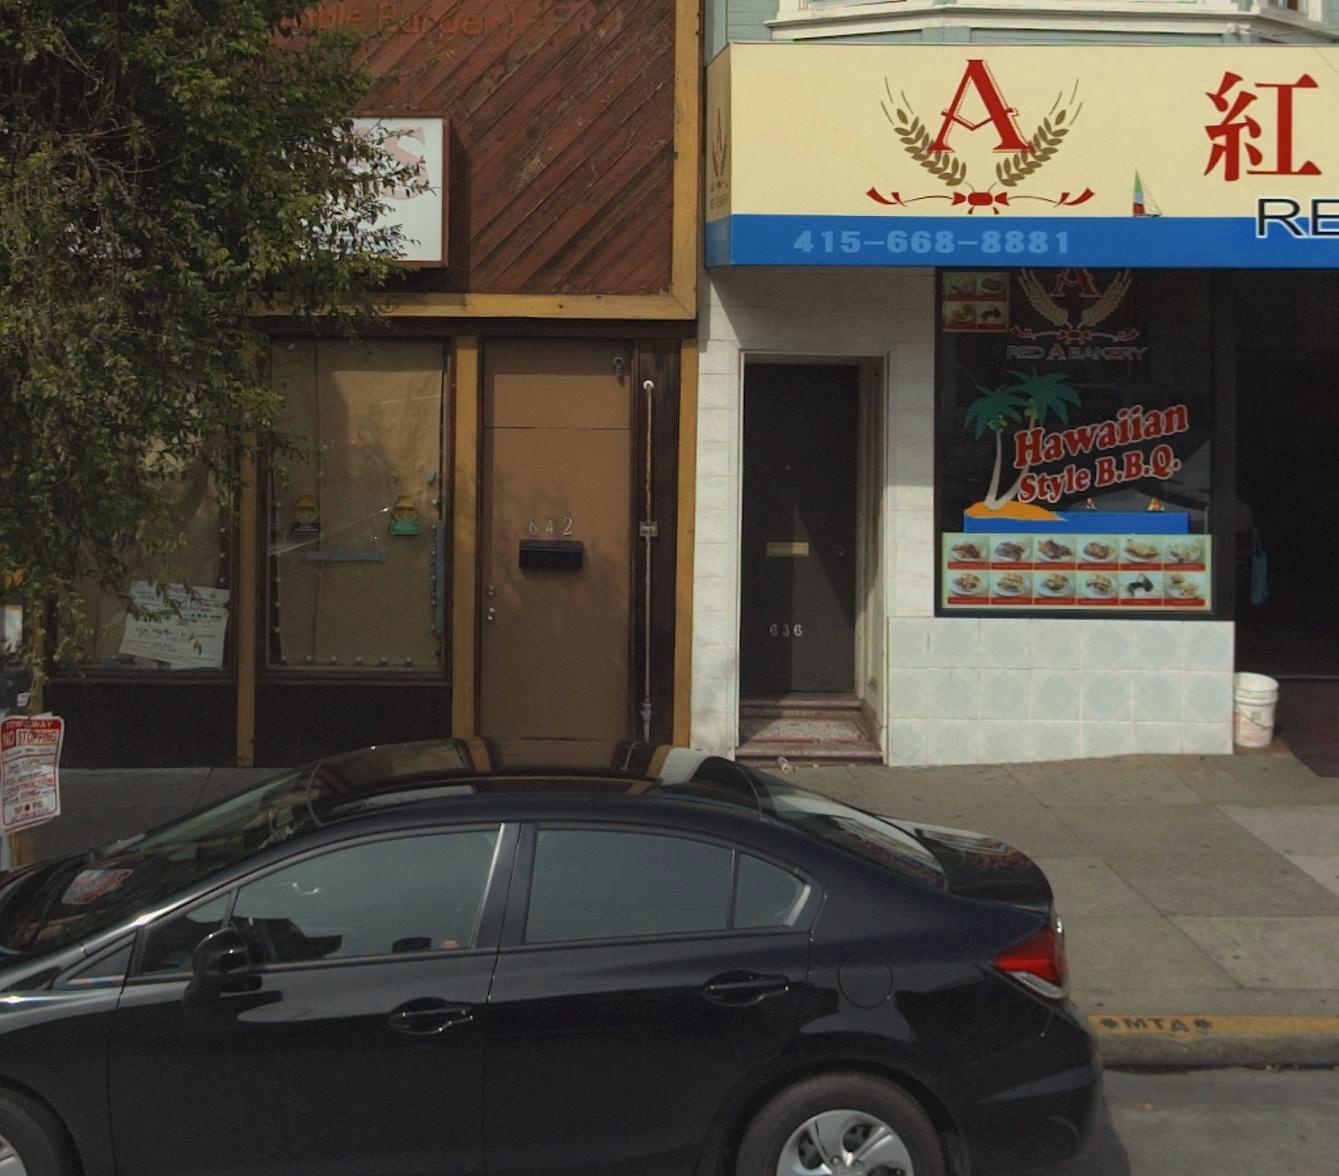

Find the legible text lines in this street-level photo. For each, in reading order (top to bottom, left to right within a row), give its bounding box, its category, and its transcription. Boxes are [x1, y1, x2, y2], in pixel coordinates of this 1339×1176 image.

[919, 58, 1039, 153] None: A
[1245, 72, 1324, 177] None: I
[1255, 197, 1339, 239] BusinessName: RE
[791, 229, 1069, 255] None: 415-668-8881
[1006, 342, 1148, 362] BusinessName: RED A BAKERY
[1012, 405, 1189, 469] None: Hawaiian
[1017, 444, 1182, 504] None: Style B.B.Q.
[528, 516, 573, 537] StreetNumber: 642
[768, 622, 803, 638] StreetNumber: 636
[1, 729, 57, 749] None: NO ST**PI*G
[1118, 1017, 1195, 1032] None: MTA